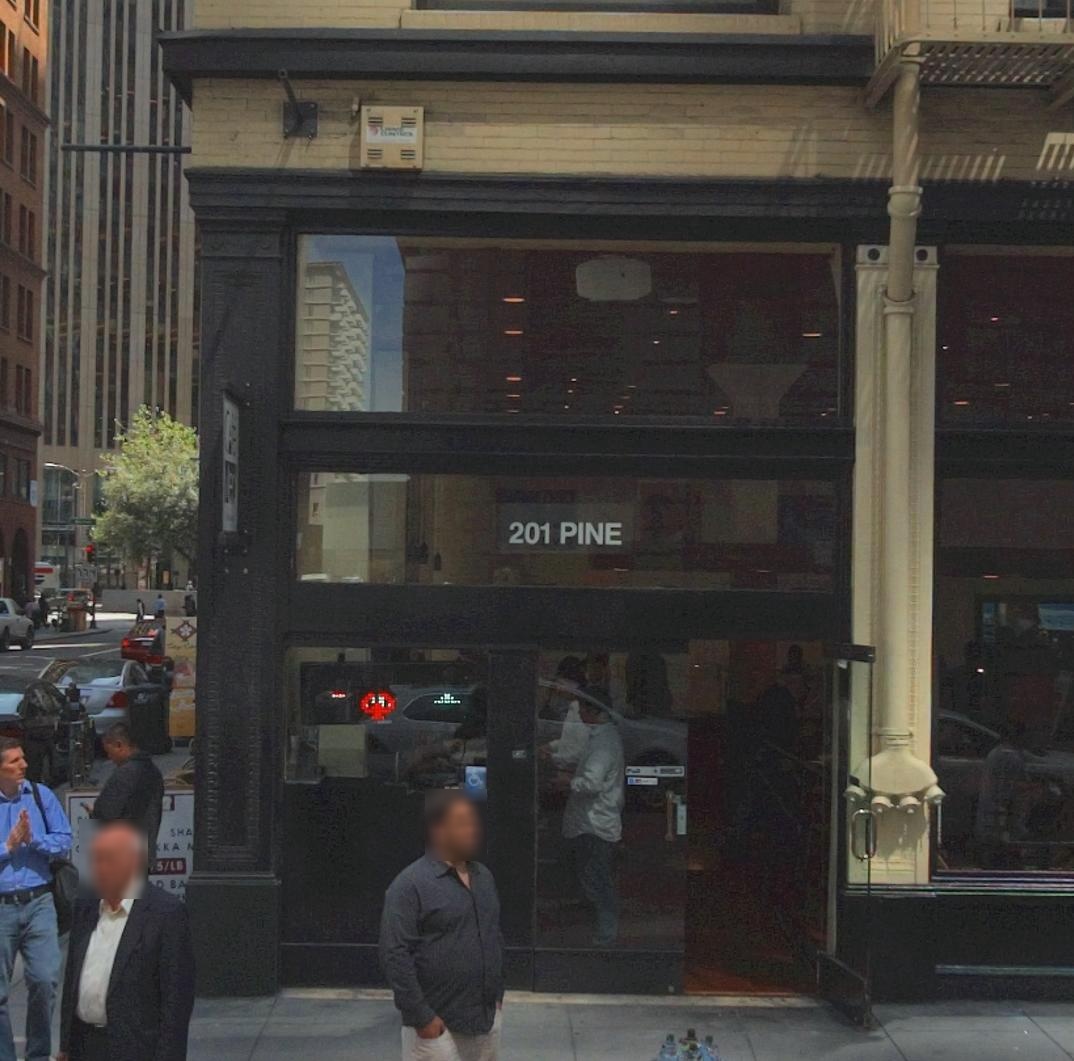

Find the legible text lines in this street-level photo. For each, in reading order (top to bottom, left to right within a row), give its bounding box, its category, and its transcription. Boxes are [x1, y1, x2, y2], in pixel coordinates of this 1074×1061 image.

[507, 520, 552, 546] StreetNumber: 201
[558, 520, 623, 546] StreetName: PINE
[75, 814, 90, 826] None: BU
[75, 828, 92, 839] None: SA
[169, 826, 192, 837] None: SHA
[74, 843, 85, 855] None: C
[161, 841, 179, 852] None: KA
[154, 858, 184, 873] None: 5/LB
[168, 877, 185, 889] None: BA